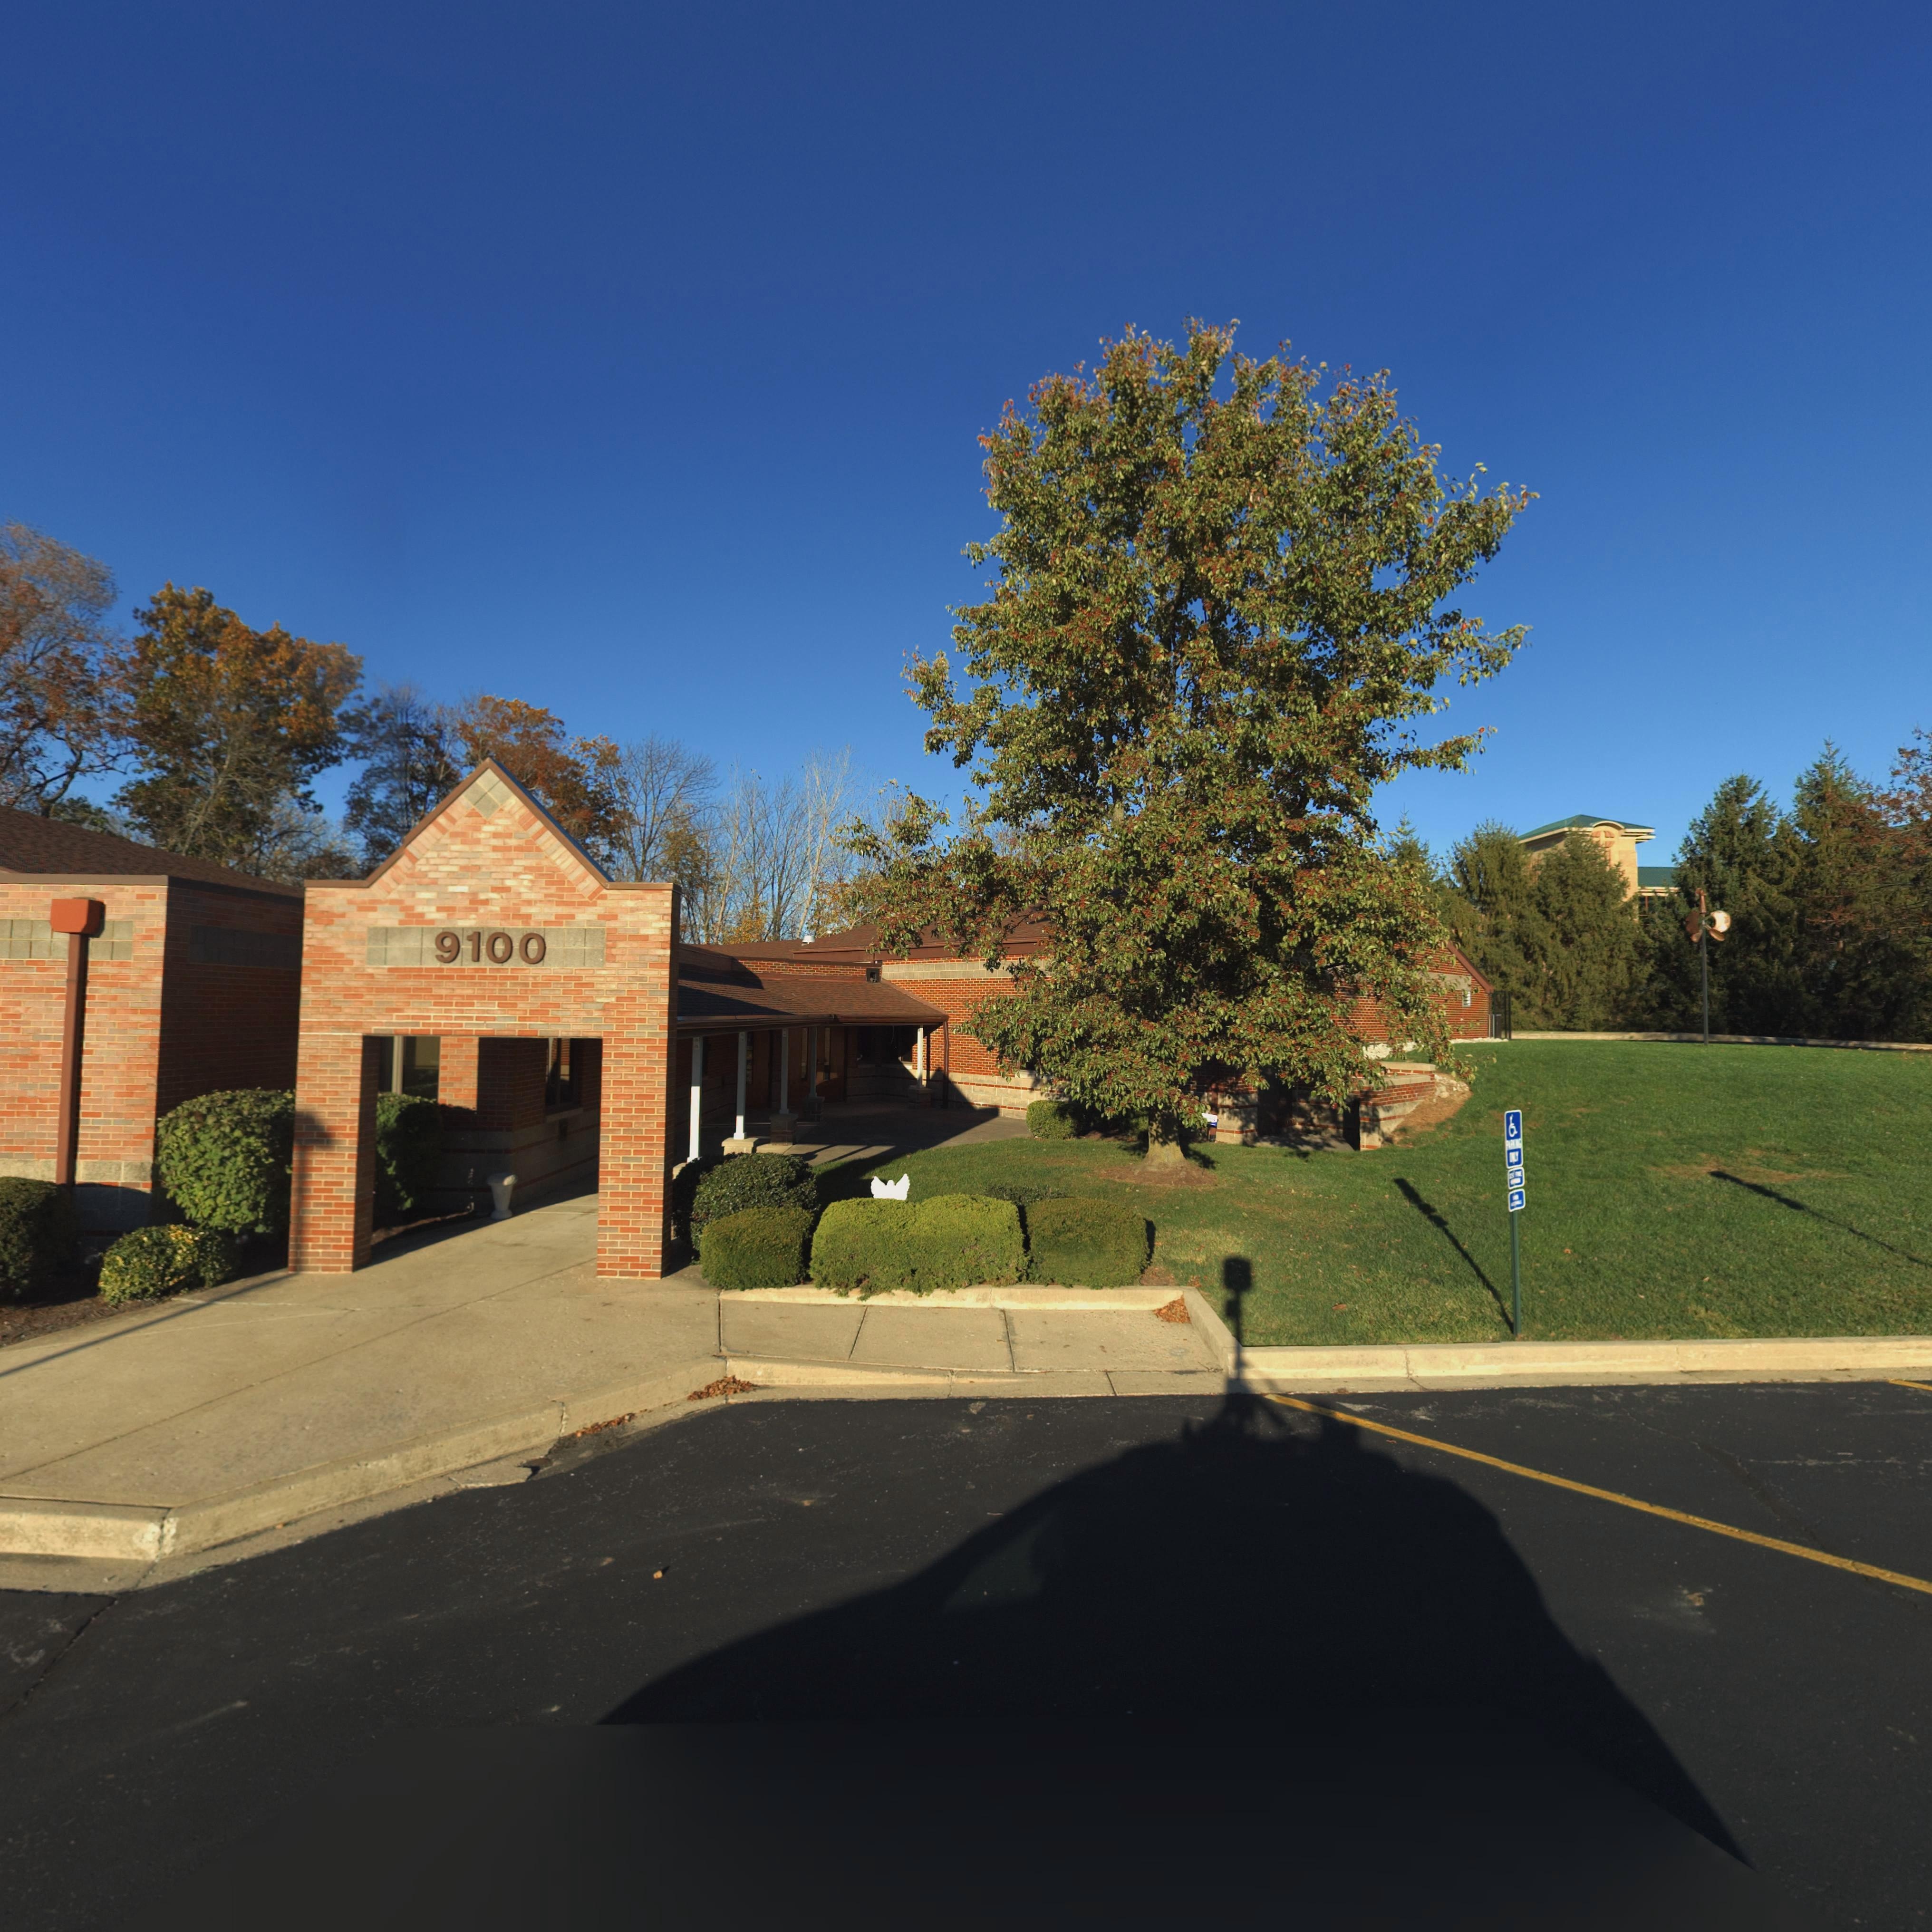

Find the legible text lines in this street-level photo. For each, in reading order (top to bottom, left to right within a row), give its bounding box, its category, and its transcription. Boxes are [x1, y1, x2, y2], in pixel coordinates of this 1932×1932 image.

[434, 930, 547, 966] StreetNumber: 9100